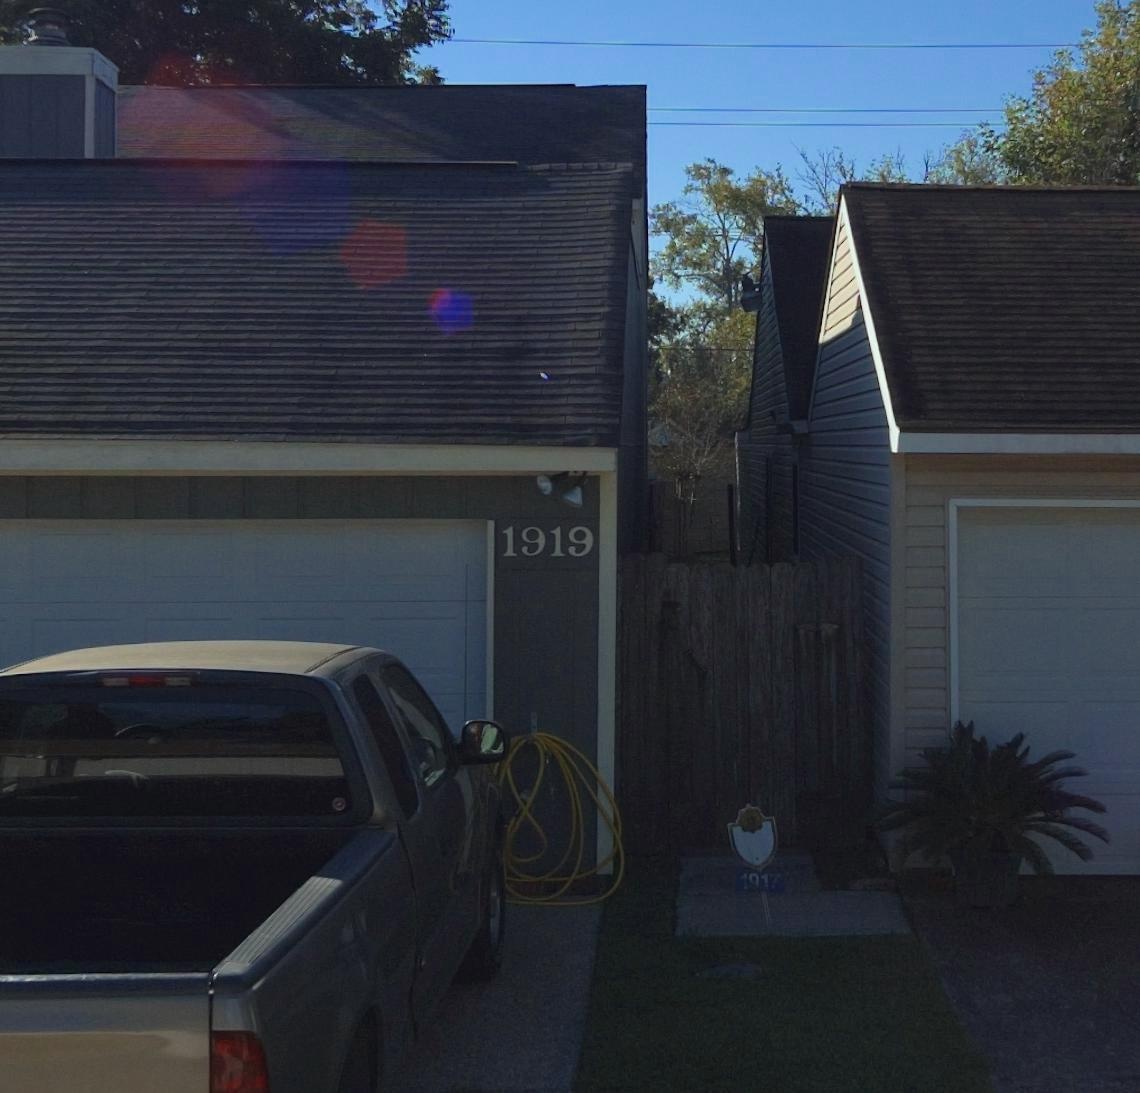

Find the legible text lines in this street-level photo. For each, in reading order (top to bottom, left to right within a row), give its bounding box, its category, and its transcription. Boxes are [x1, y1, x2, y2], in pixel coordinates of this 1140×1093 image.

[500, 523, 596, 559] StreetNumber: 1919
[738, 871, 785, 892] StreetNumber: 1917